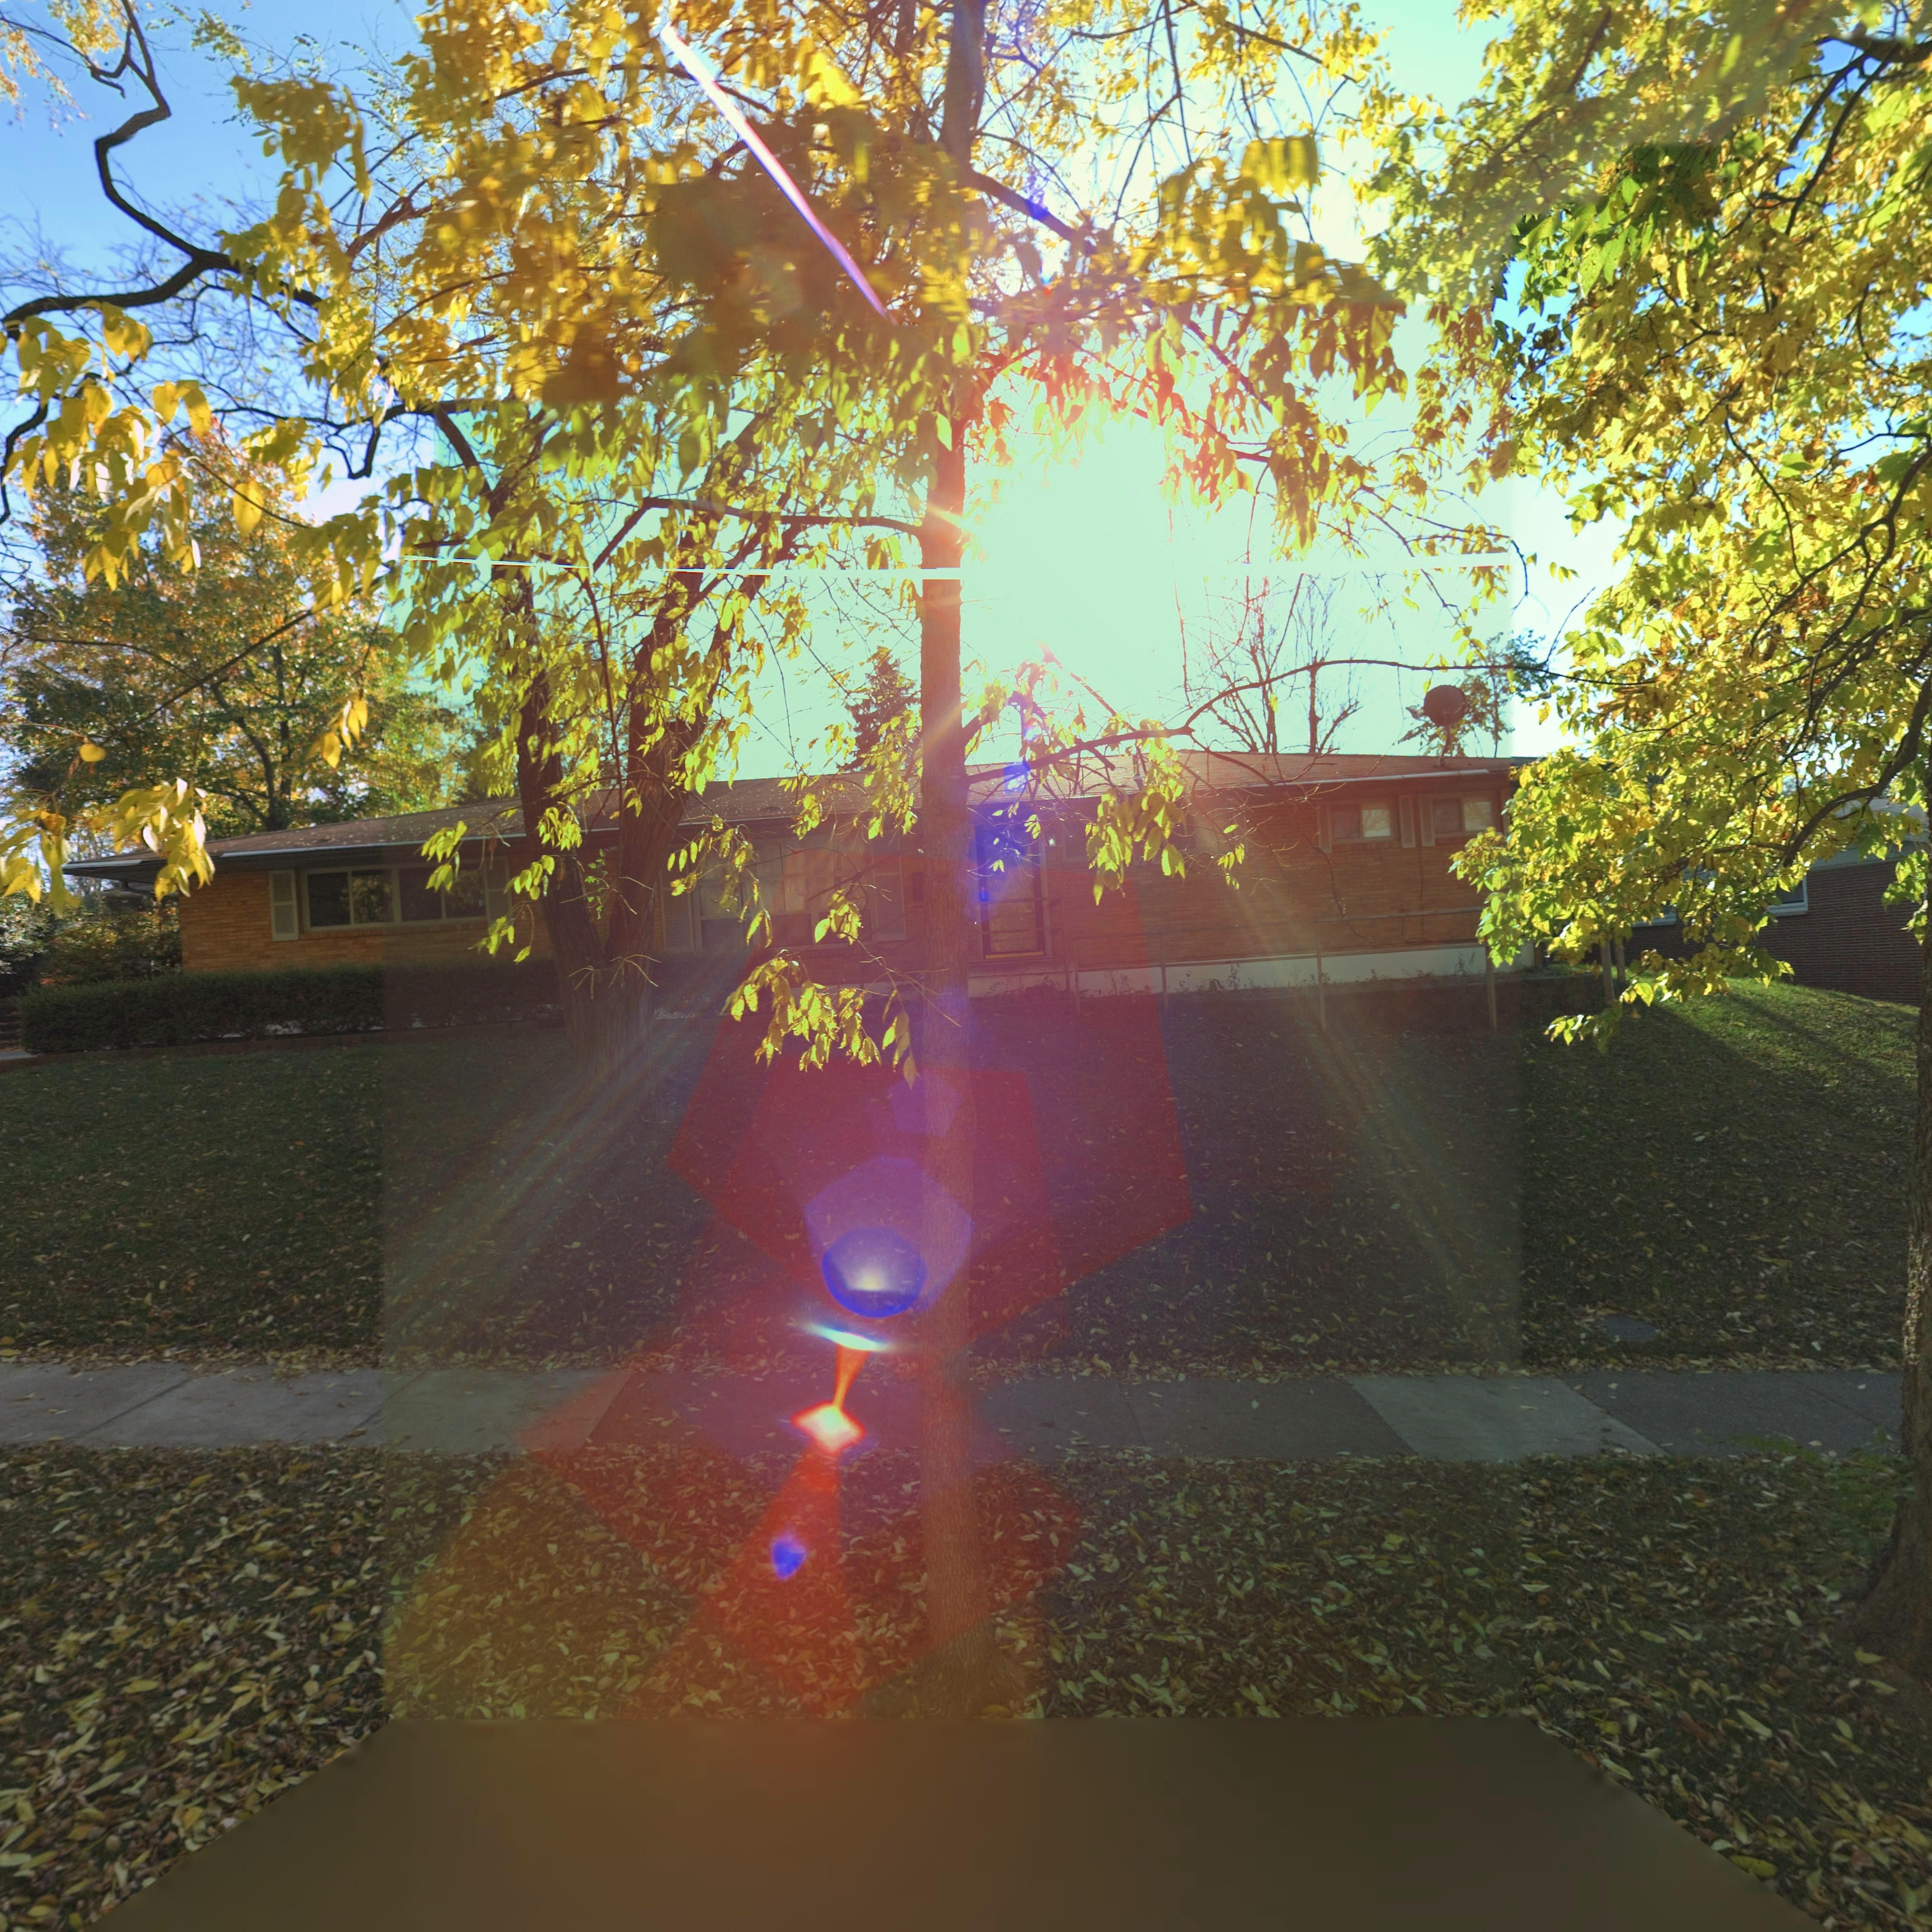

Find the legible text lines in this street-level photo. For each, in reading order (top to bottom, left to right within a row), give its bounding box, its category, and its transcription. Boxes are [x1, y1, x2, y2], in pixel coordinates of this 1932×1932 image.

[915, 883, 925, 895] StreetNumber: 45